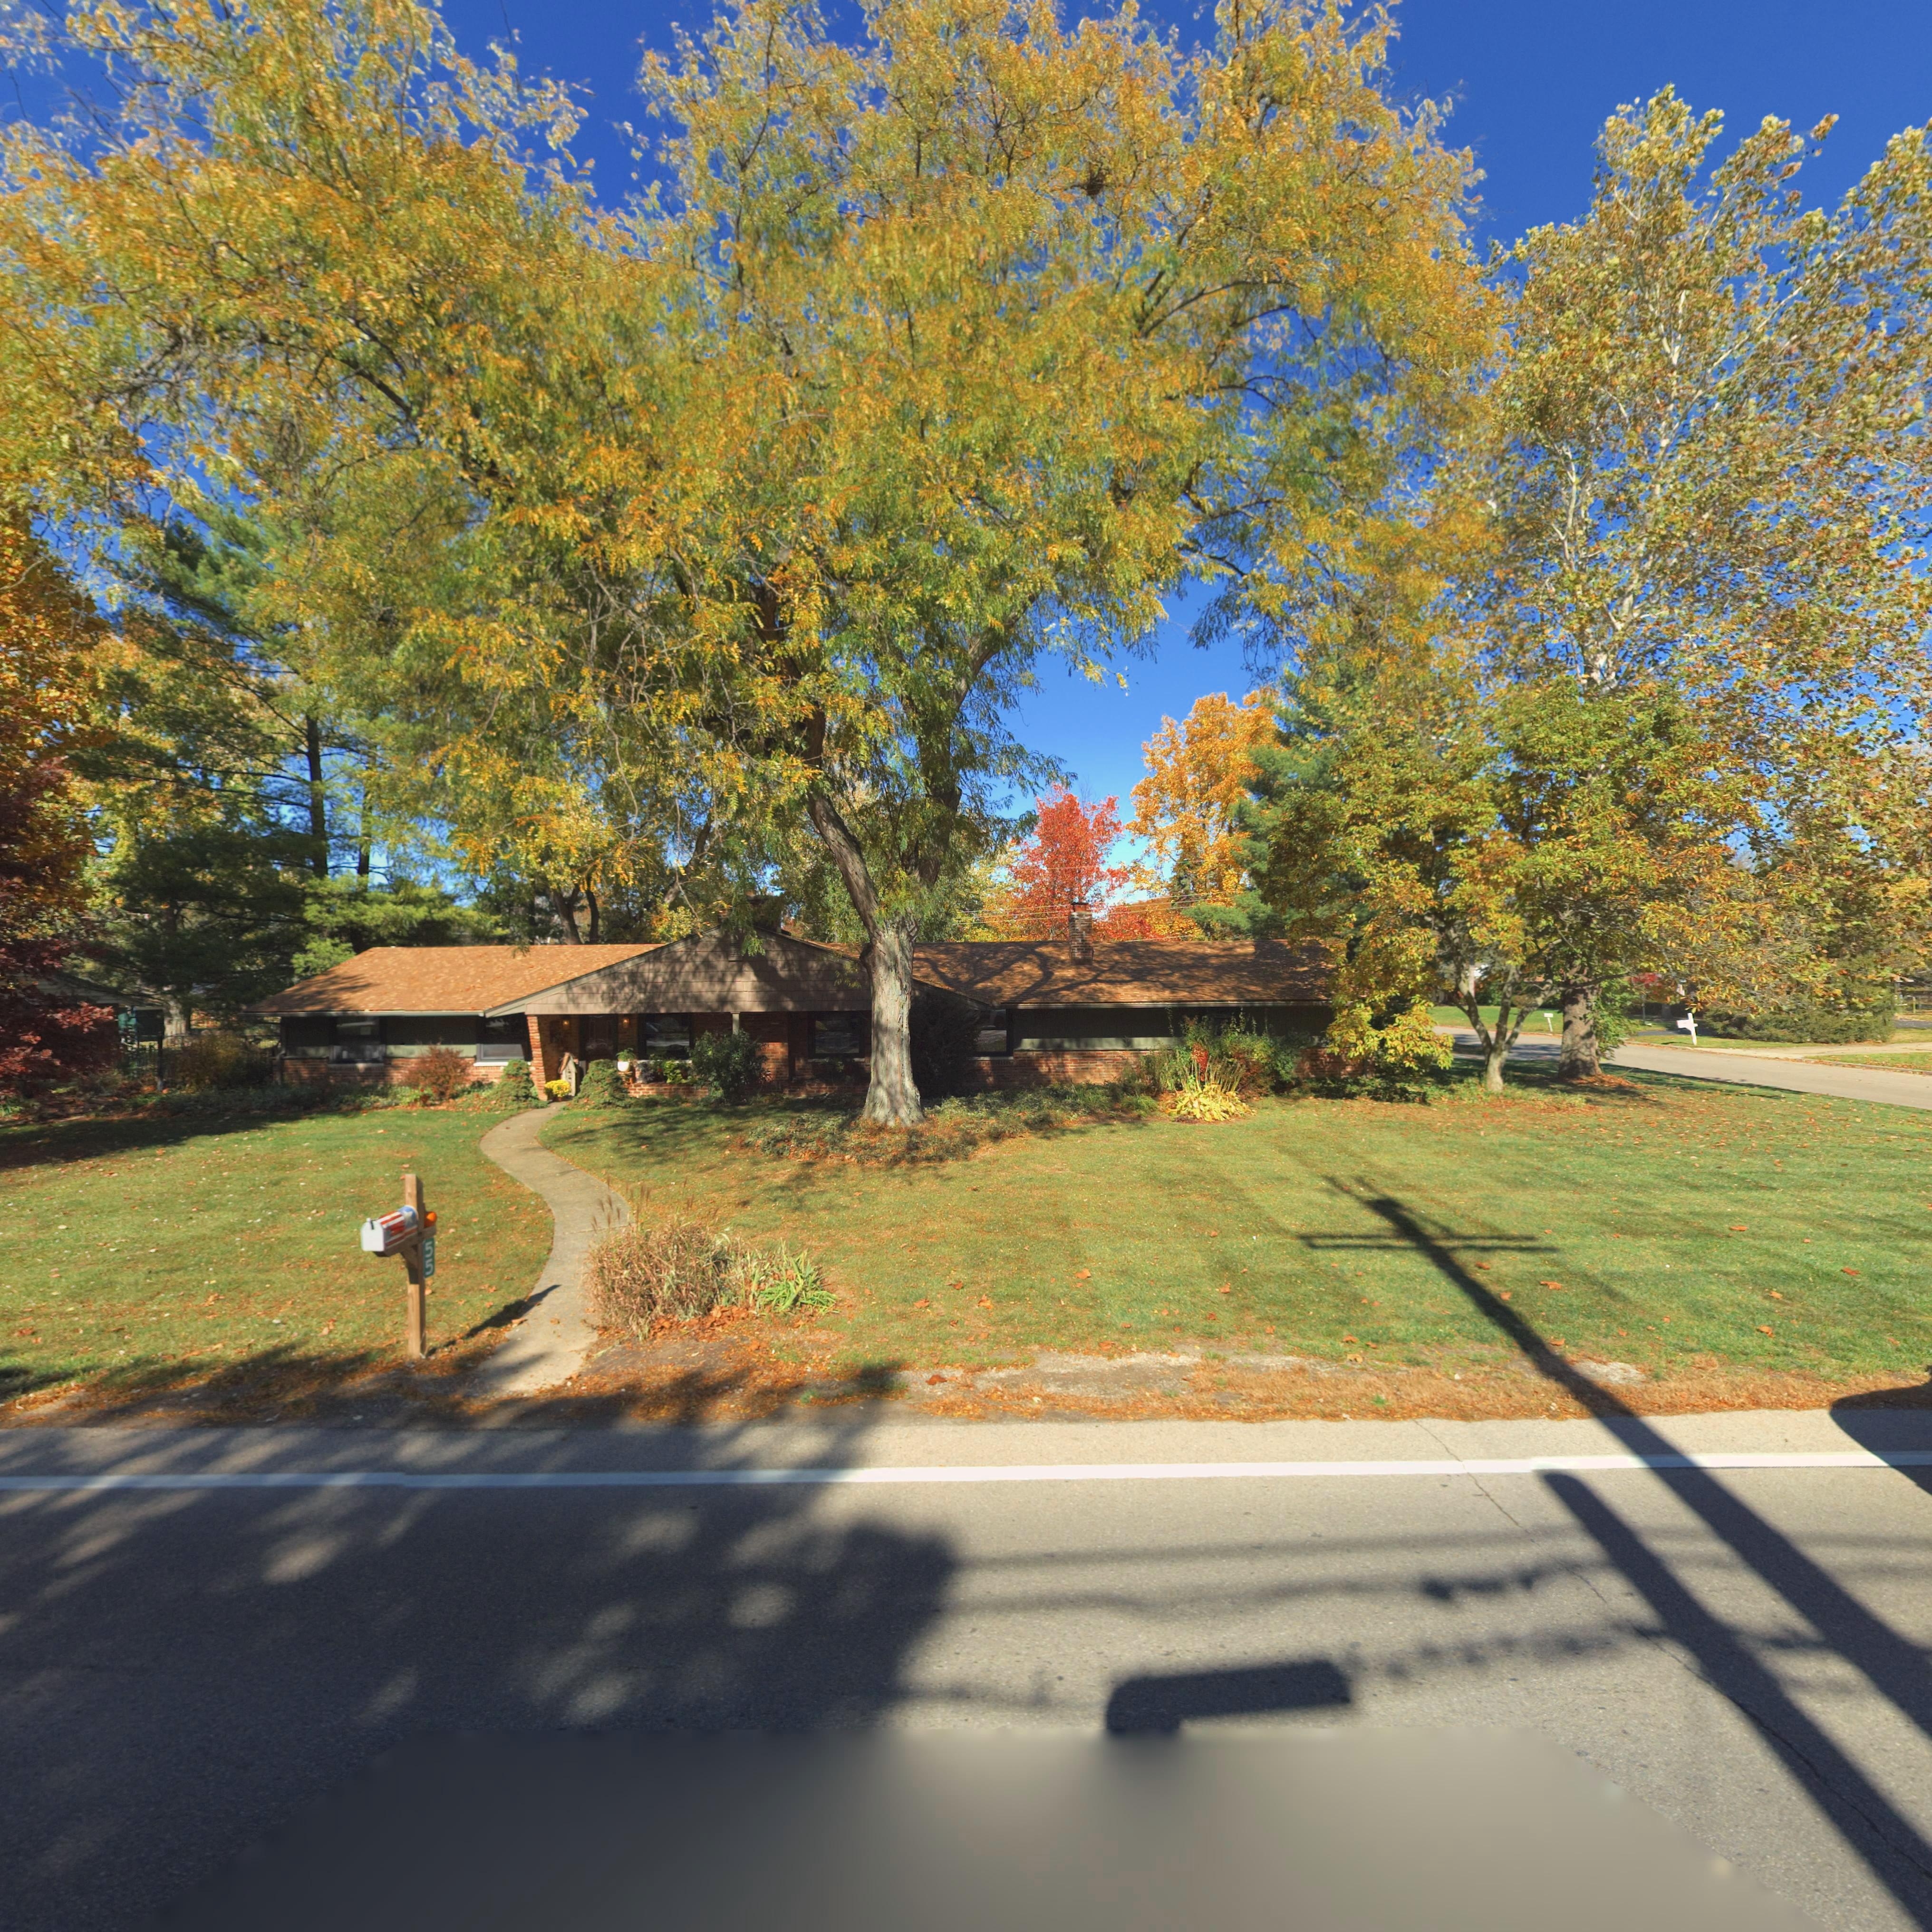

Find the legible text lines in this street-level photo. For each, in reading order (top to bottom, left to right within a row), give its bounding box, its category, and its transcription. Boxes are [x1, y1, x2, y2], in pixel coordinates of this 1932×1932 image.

[424, 1239, 434, 1277] StreetNumber: 55